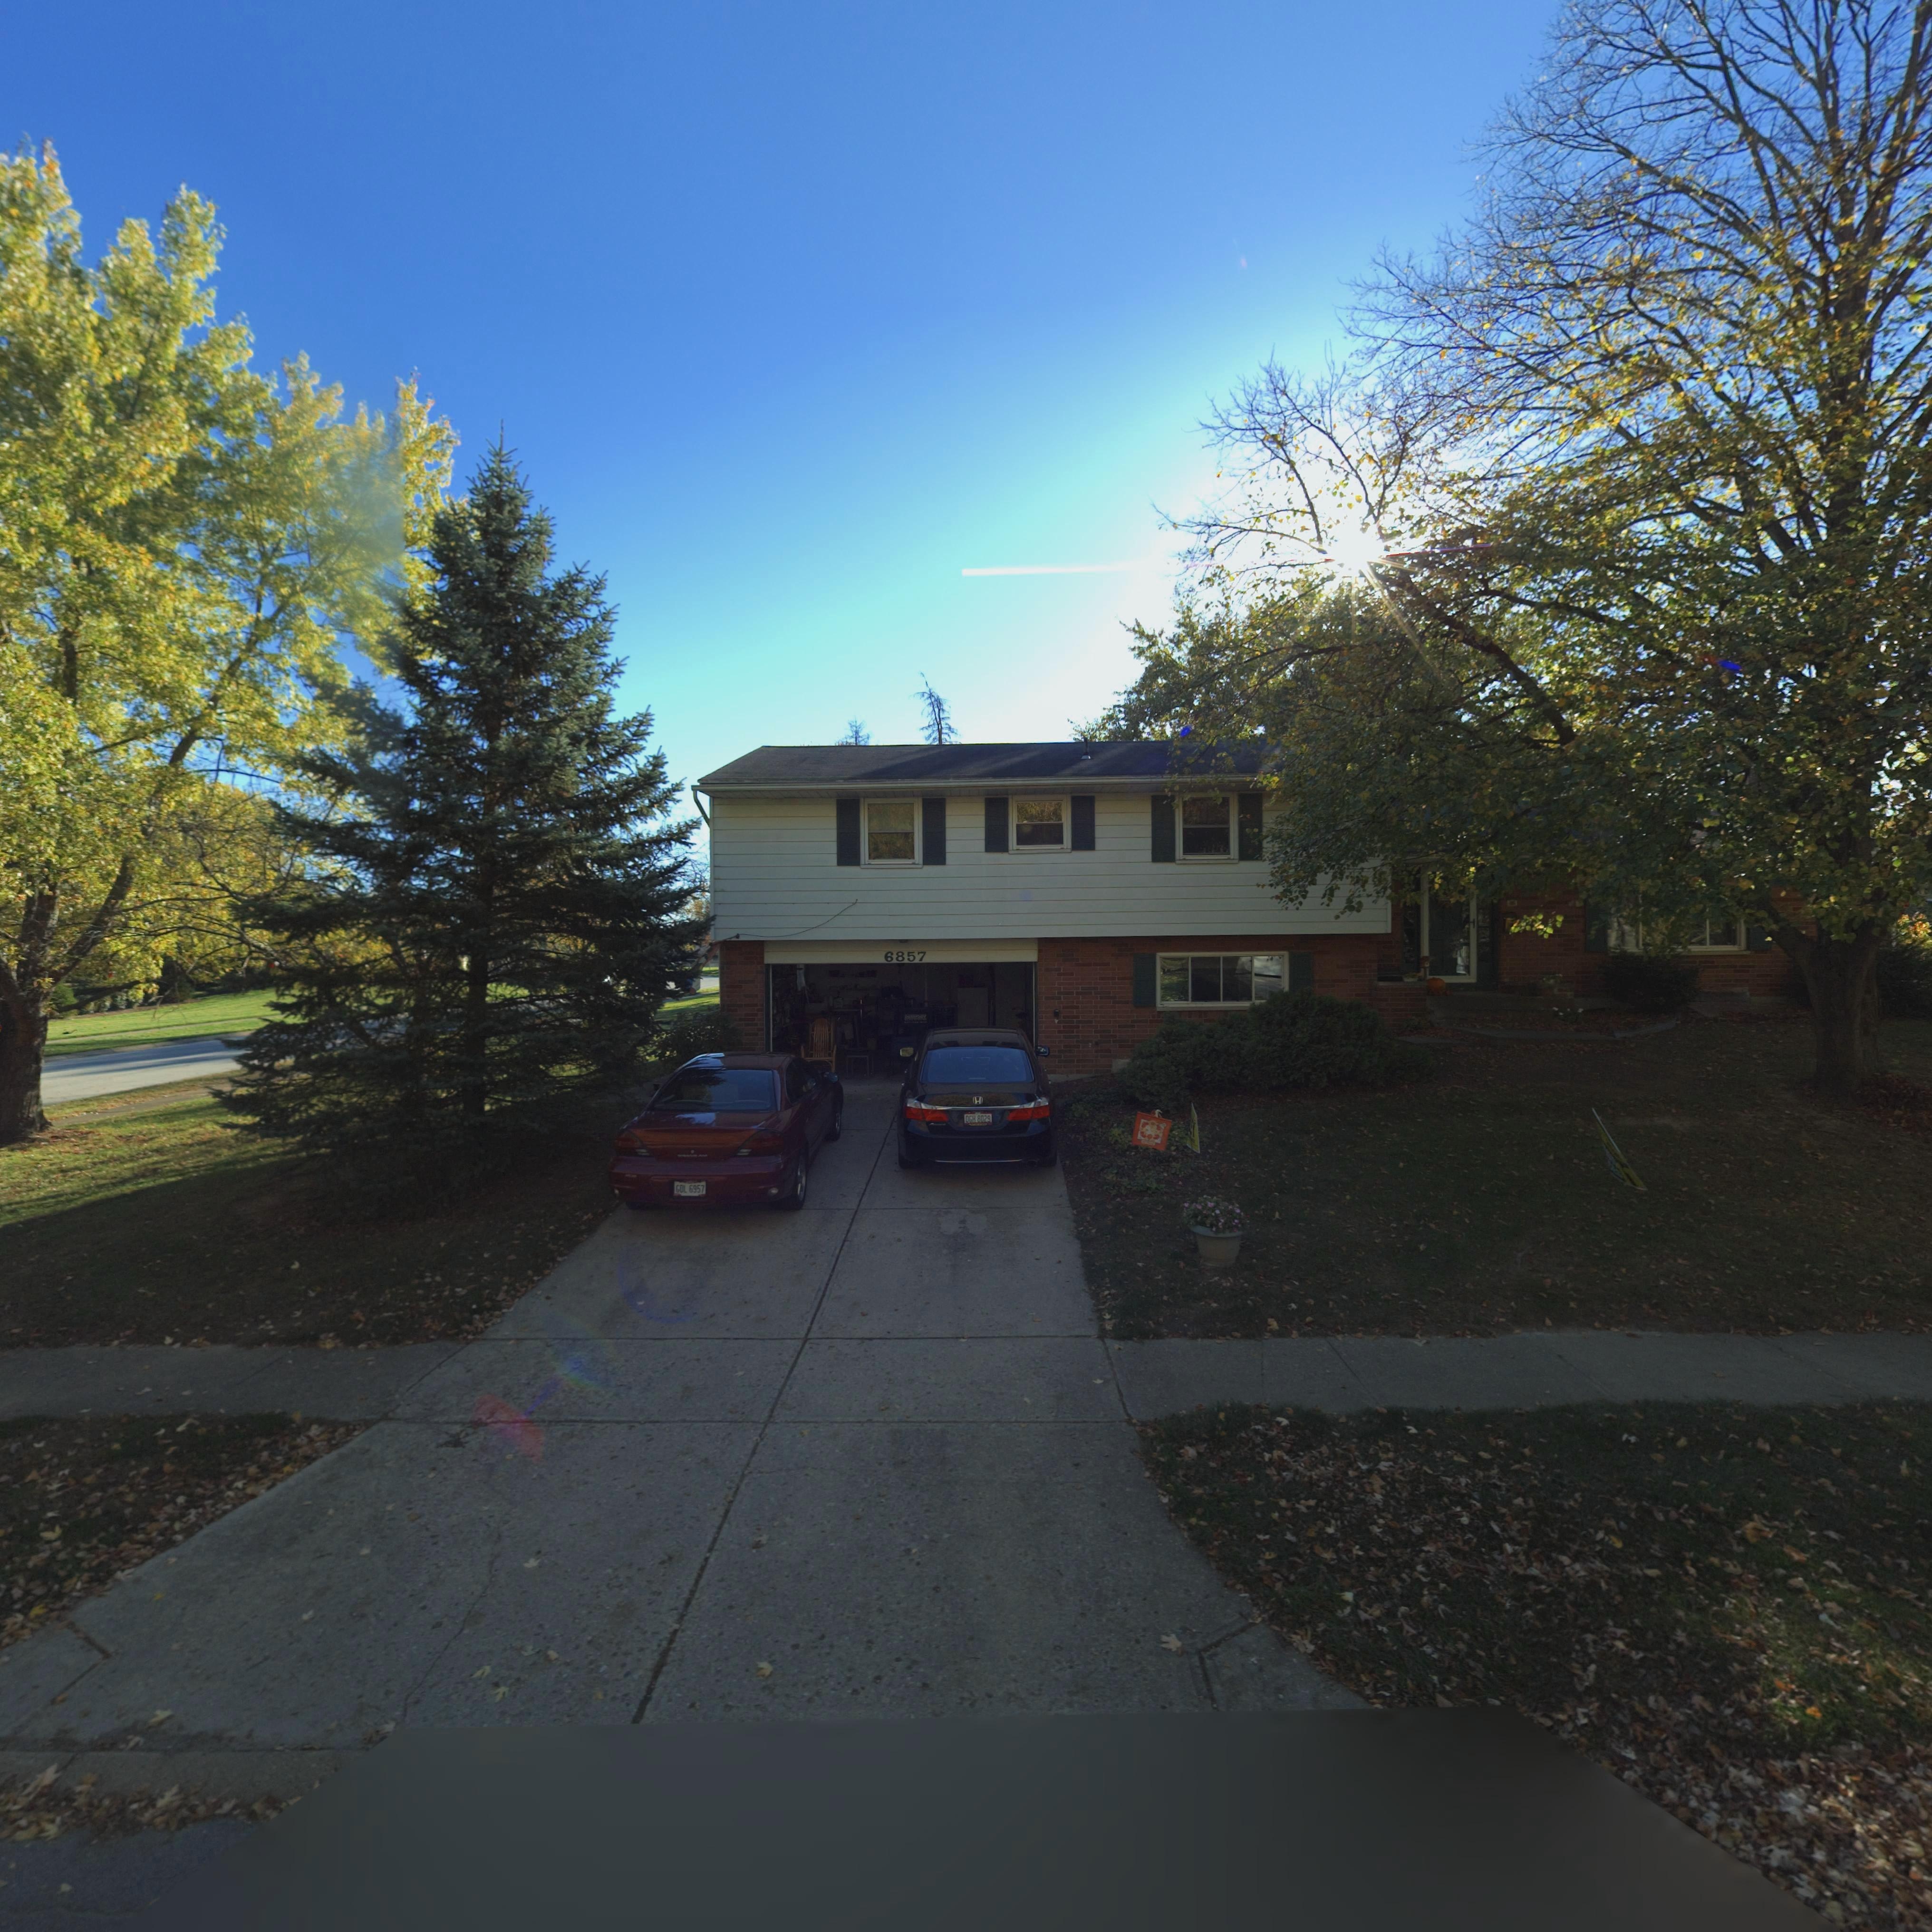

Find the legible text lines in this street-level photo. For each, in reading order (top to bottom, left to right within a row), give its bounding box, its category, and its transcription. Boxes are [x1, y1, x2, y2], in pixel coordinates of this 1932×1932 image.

[883, 950, 927, 963] StreetNumber: 6857